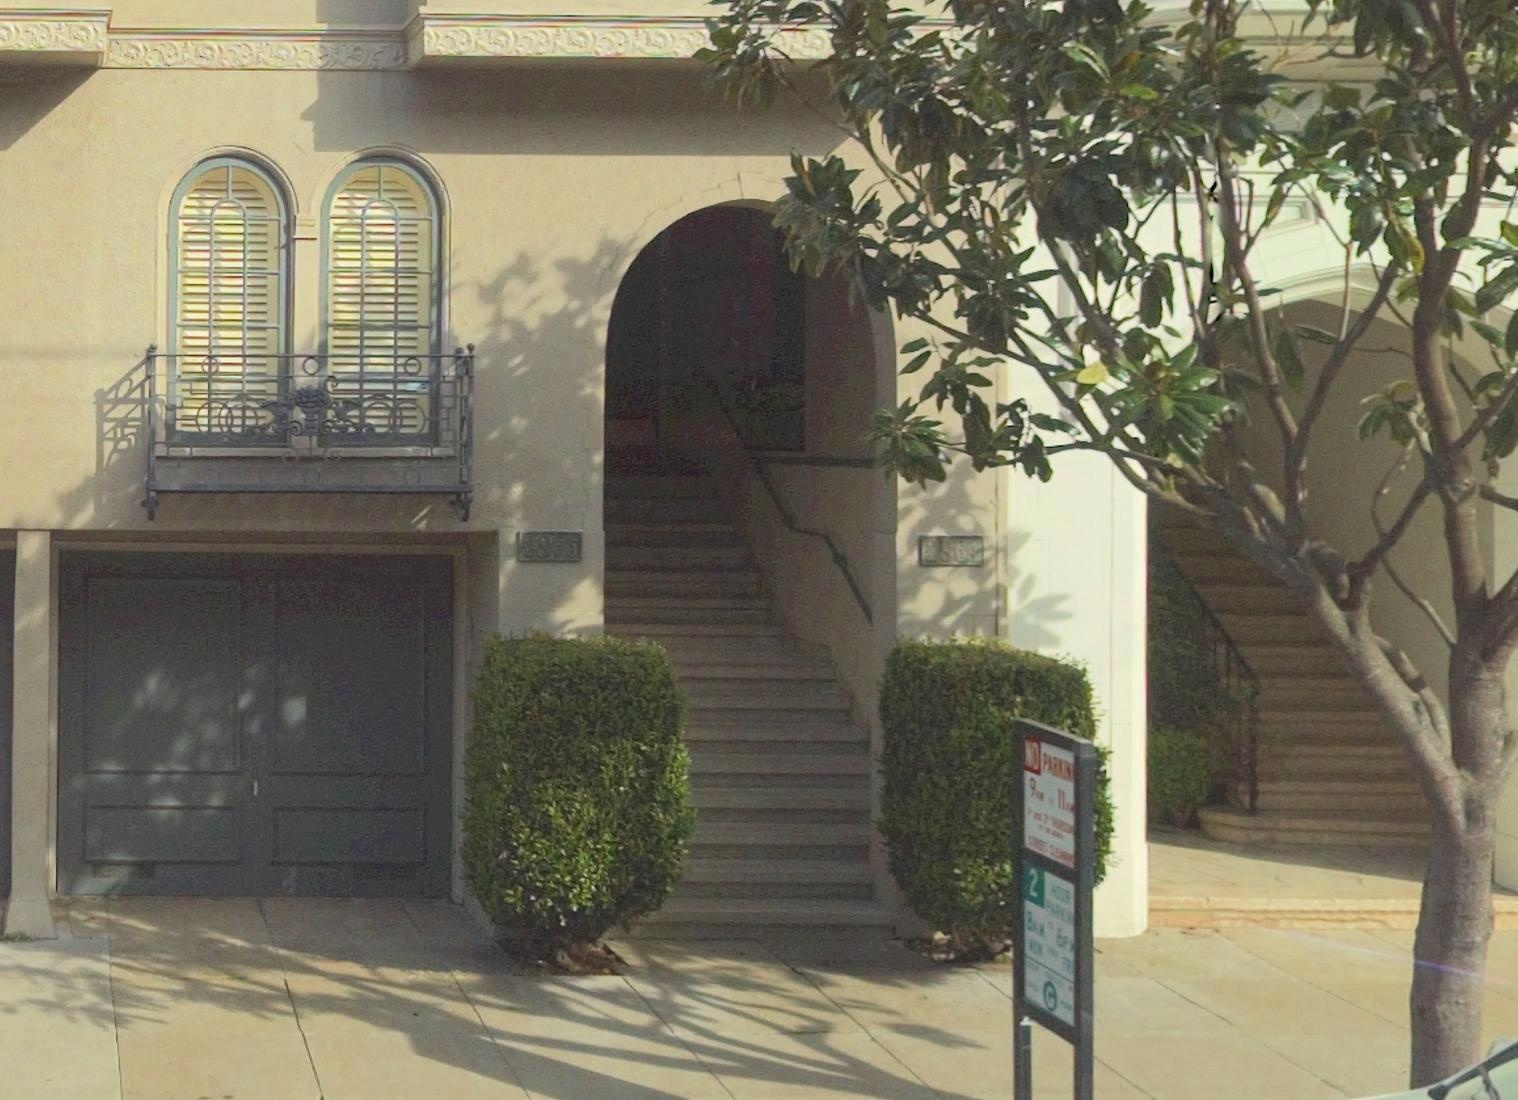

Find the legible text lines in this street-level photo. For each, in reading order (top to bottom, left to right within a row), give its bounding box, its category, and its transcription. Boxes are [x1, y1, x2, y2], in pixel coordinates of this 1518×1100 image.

[521, 531, 582, 561] StreetNumber: 2856
[923, 535, 982, 565] StreetNumber: 2864
[1023, 736, 1073, 785] None: NO PARKIN
[1027, 774, 1039, 801] None: 9
[1055, 784, 1068, 815] None: 11
[1025, 862, 1042, 904] None: 2
[1023, 905, 1037, 937] None: 8
[1053, 922, 1068, 954] None: 6
[1042, 980, 1059, 1013] None: G